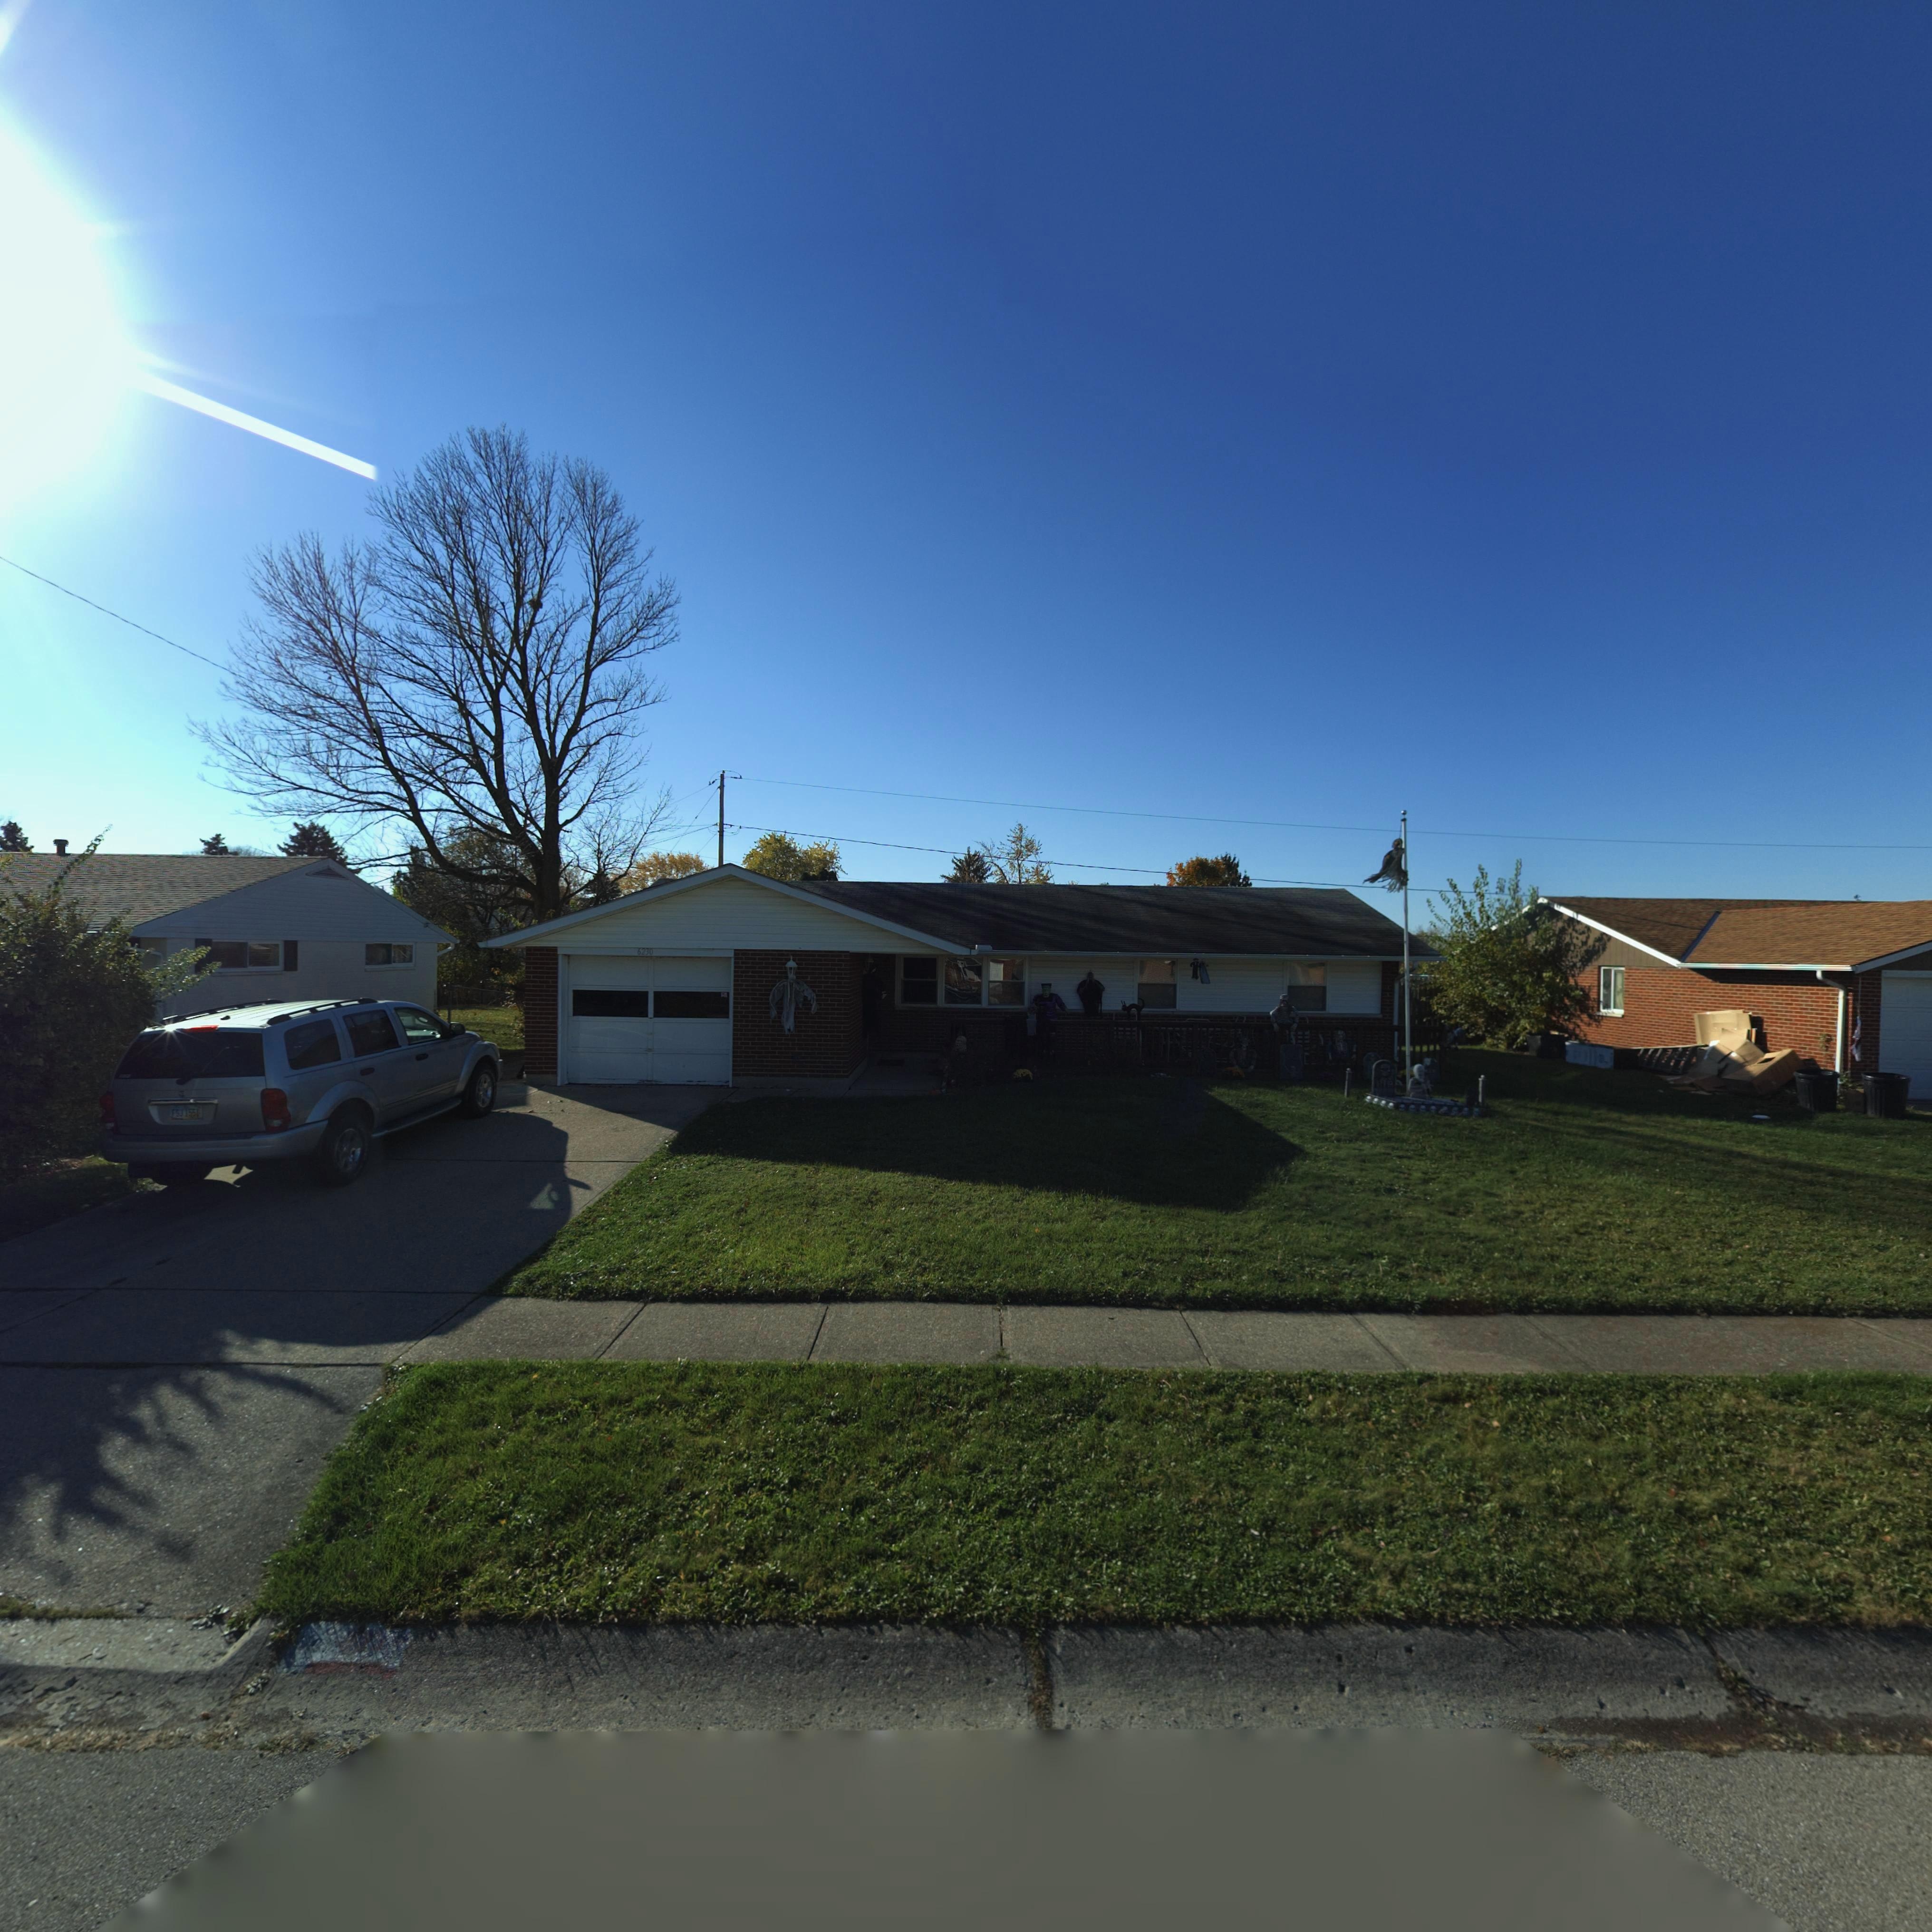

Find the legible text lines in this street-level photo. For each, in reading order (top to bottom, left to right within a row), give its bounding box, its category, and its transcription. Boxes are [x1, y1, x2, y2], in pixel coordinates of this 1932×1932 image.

[637, 947, 654, 956] StreetNumber: 6230